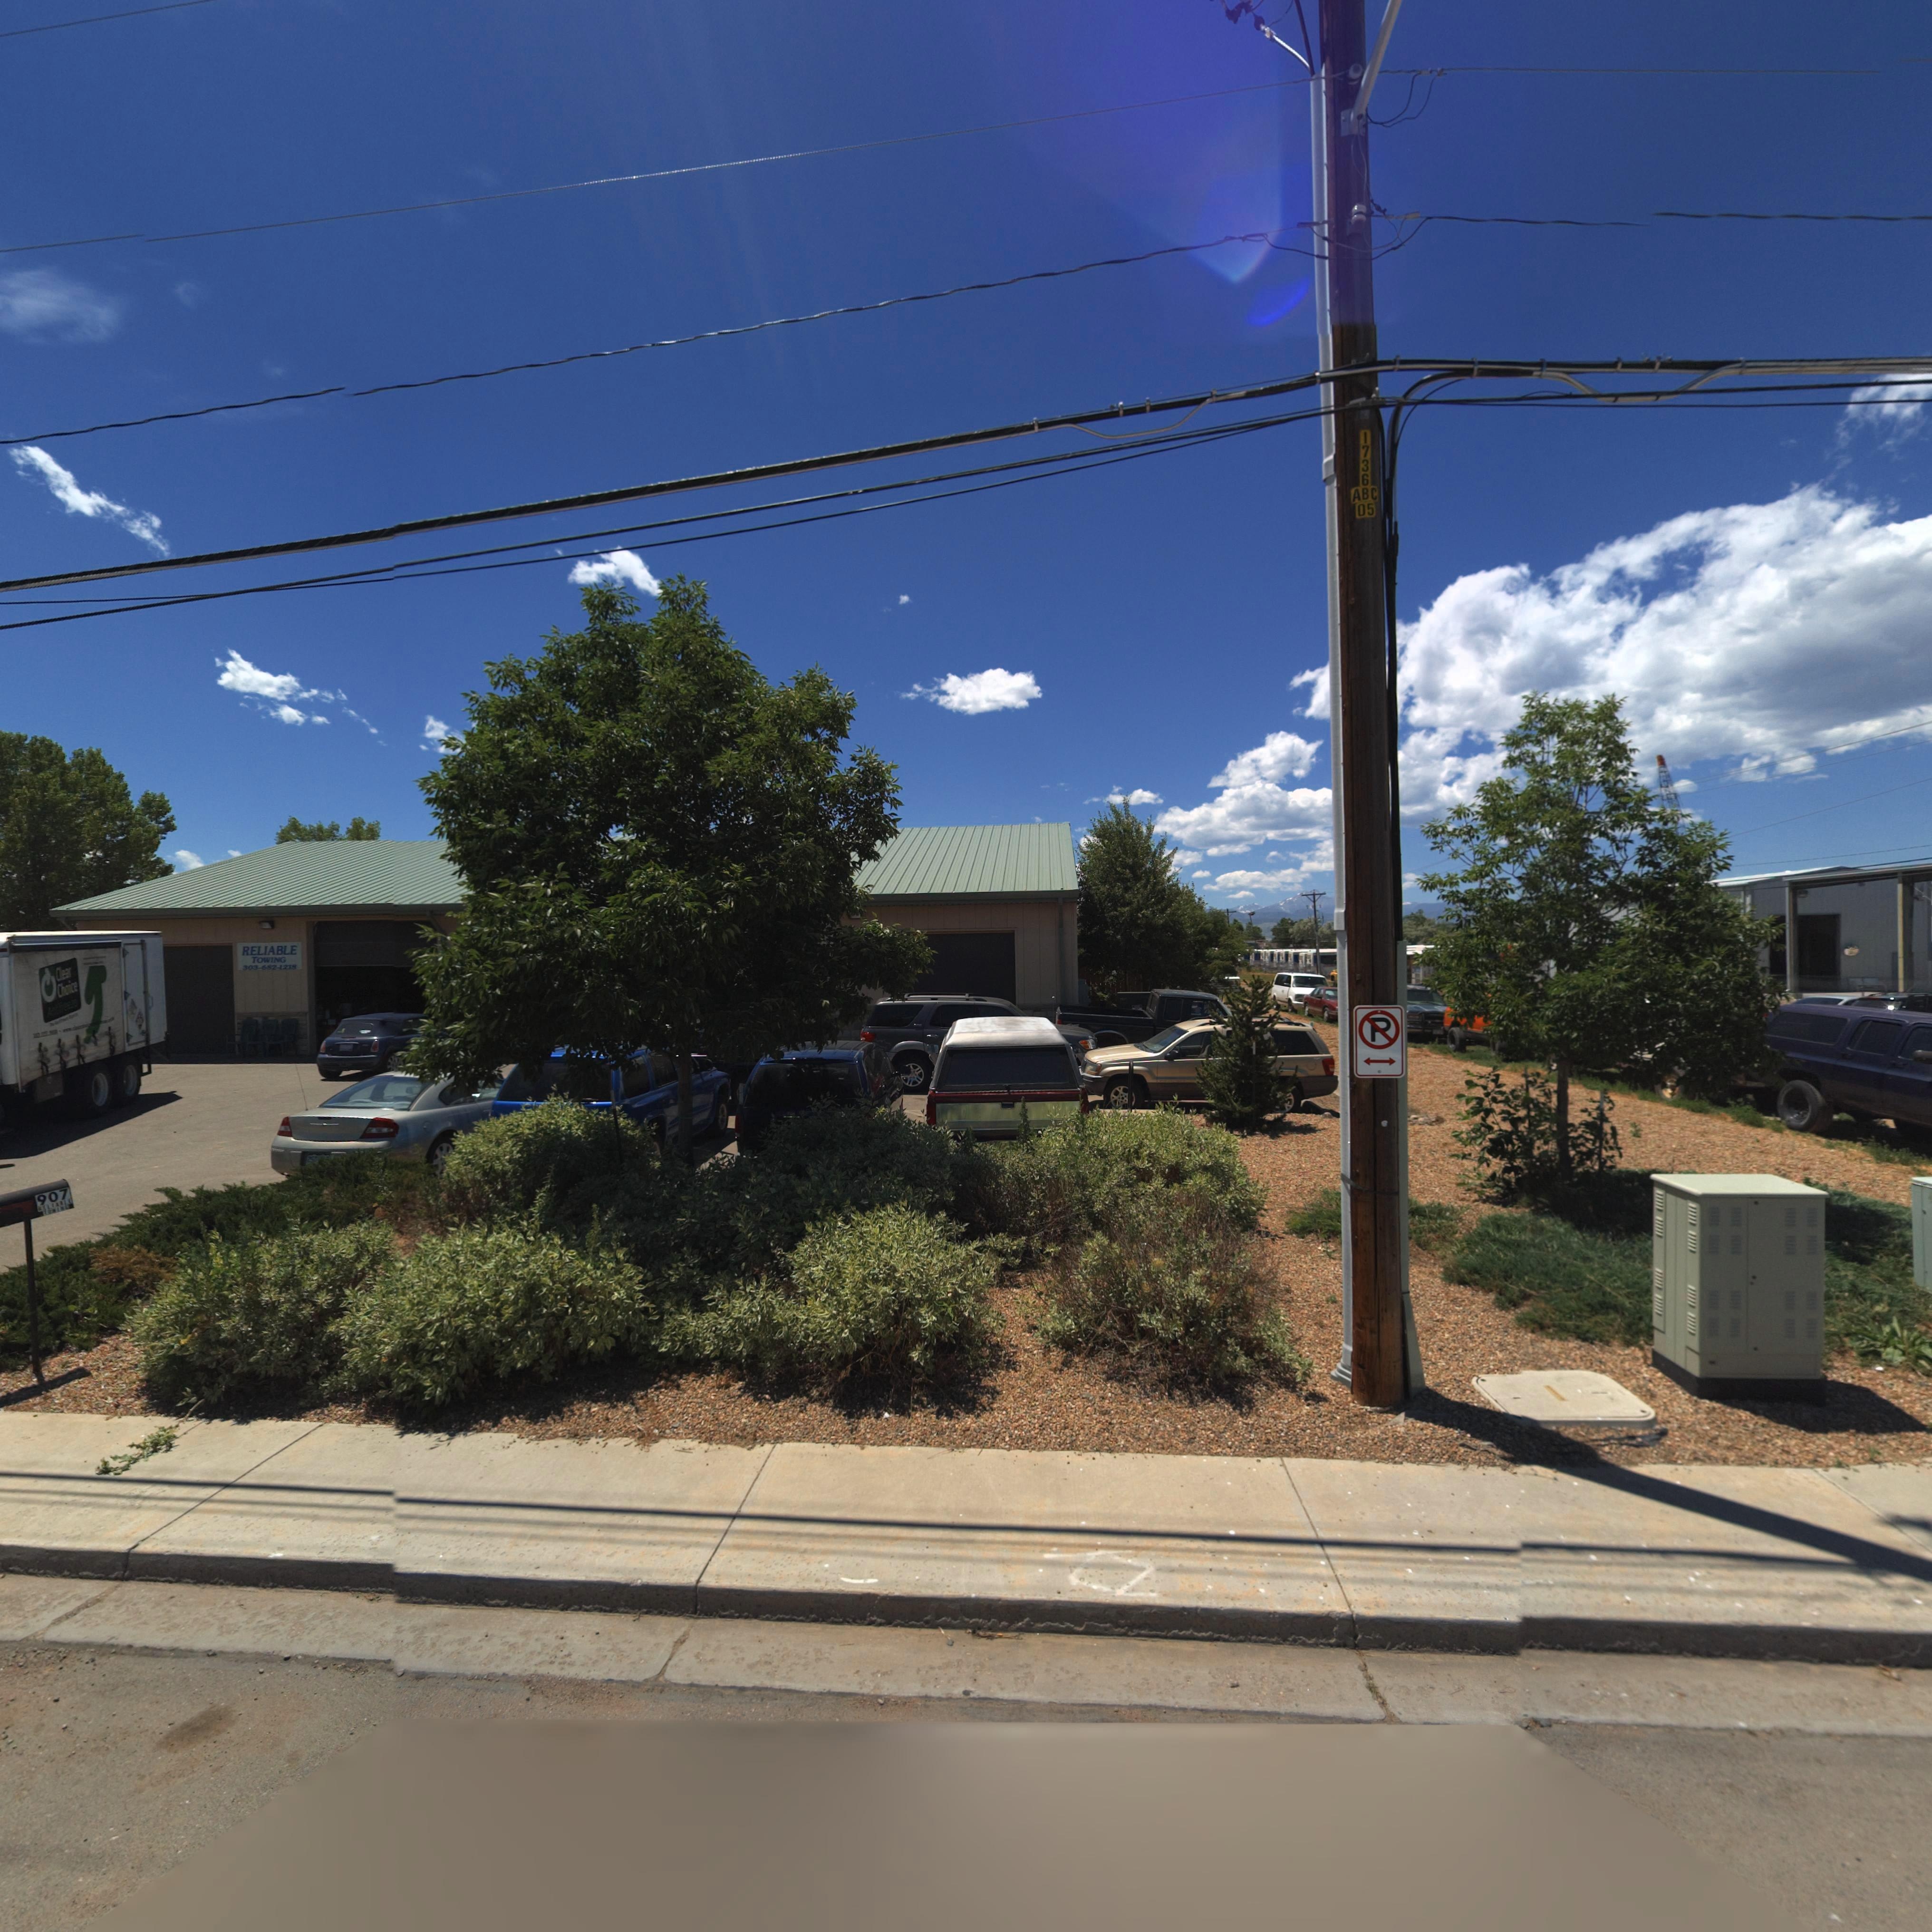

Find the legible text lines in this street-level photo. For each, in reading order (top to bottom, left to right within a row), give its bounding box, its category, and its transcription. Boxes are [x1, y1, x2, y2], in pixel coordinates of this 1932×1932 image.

[241, 945, 298, 956] BusinessName: RELIABLE
[251, 956, 287, 964] BusinessName: TOWING
[36, 1187, 68, 1206] StreetNumber: 907